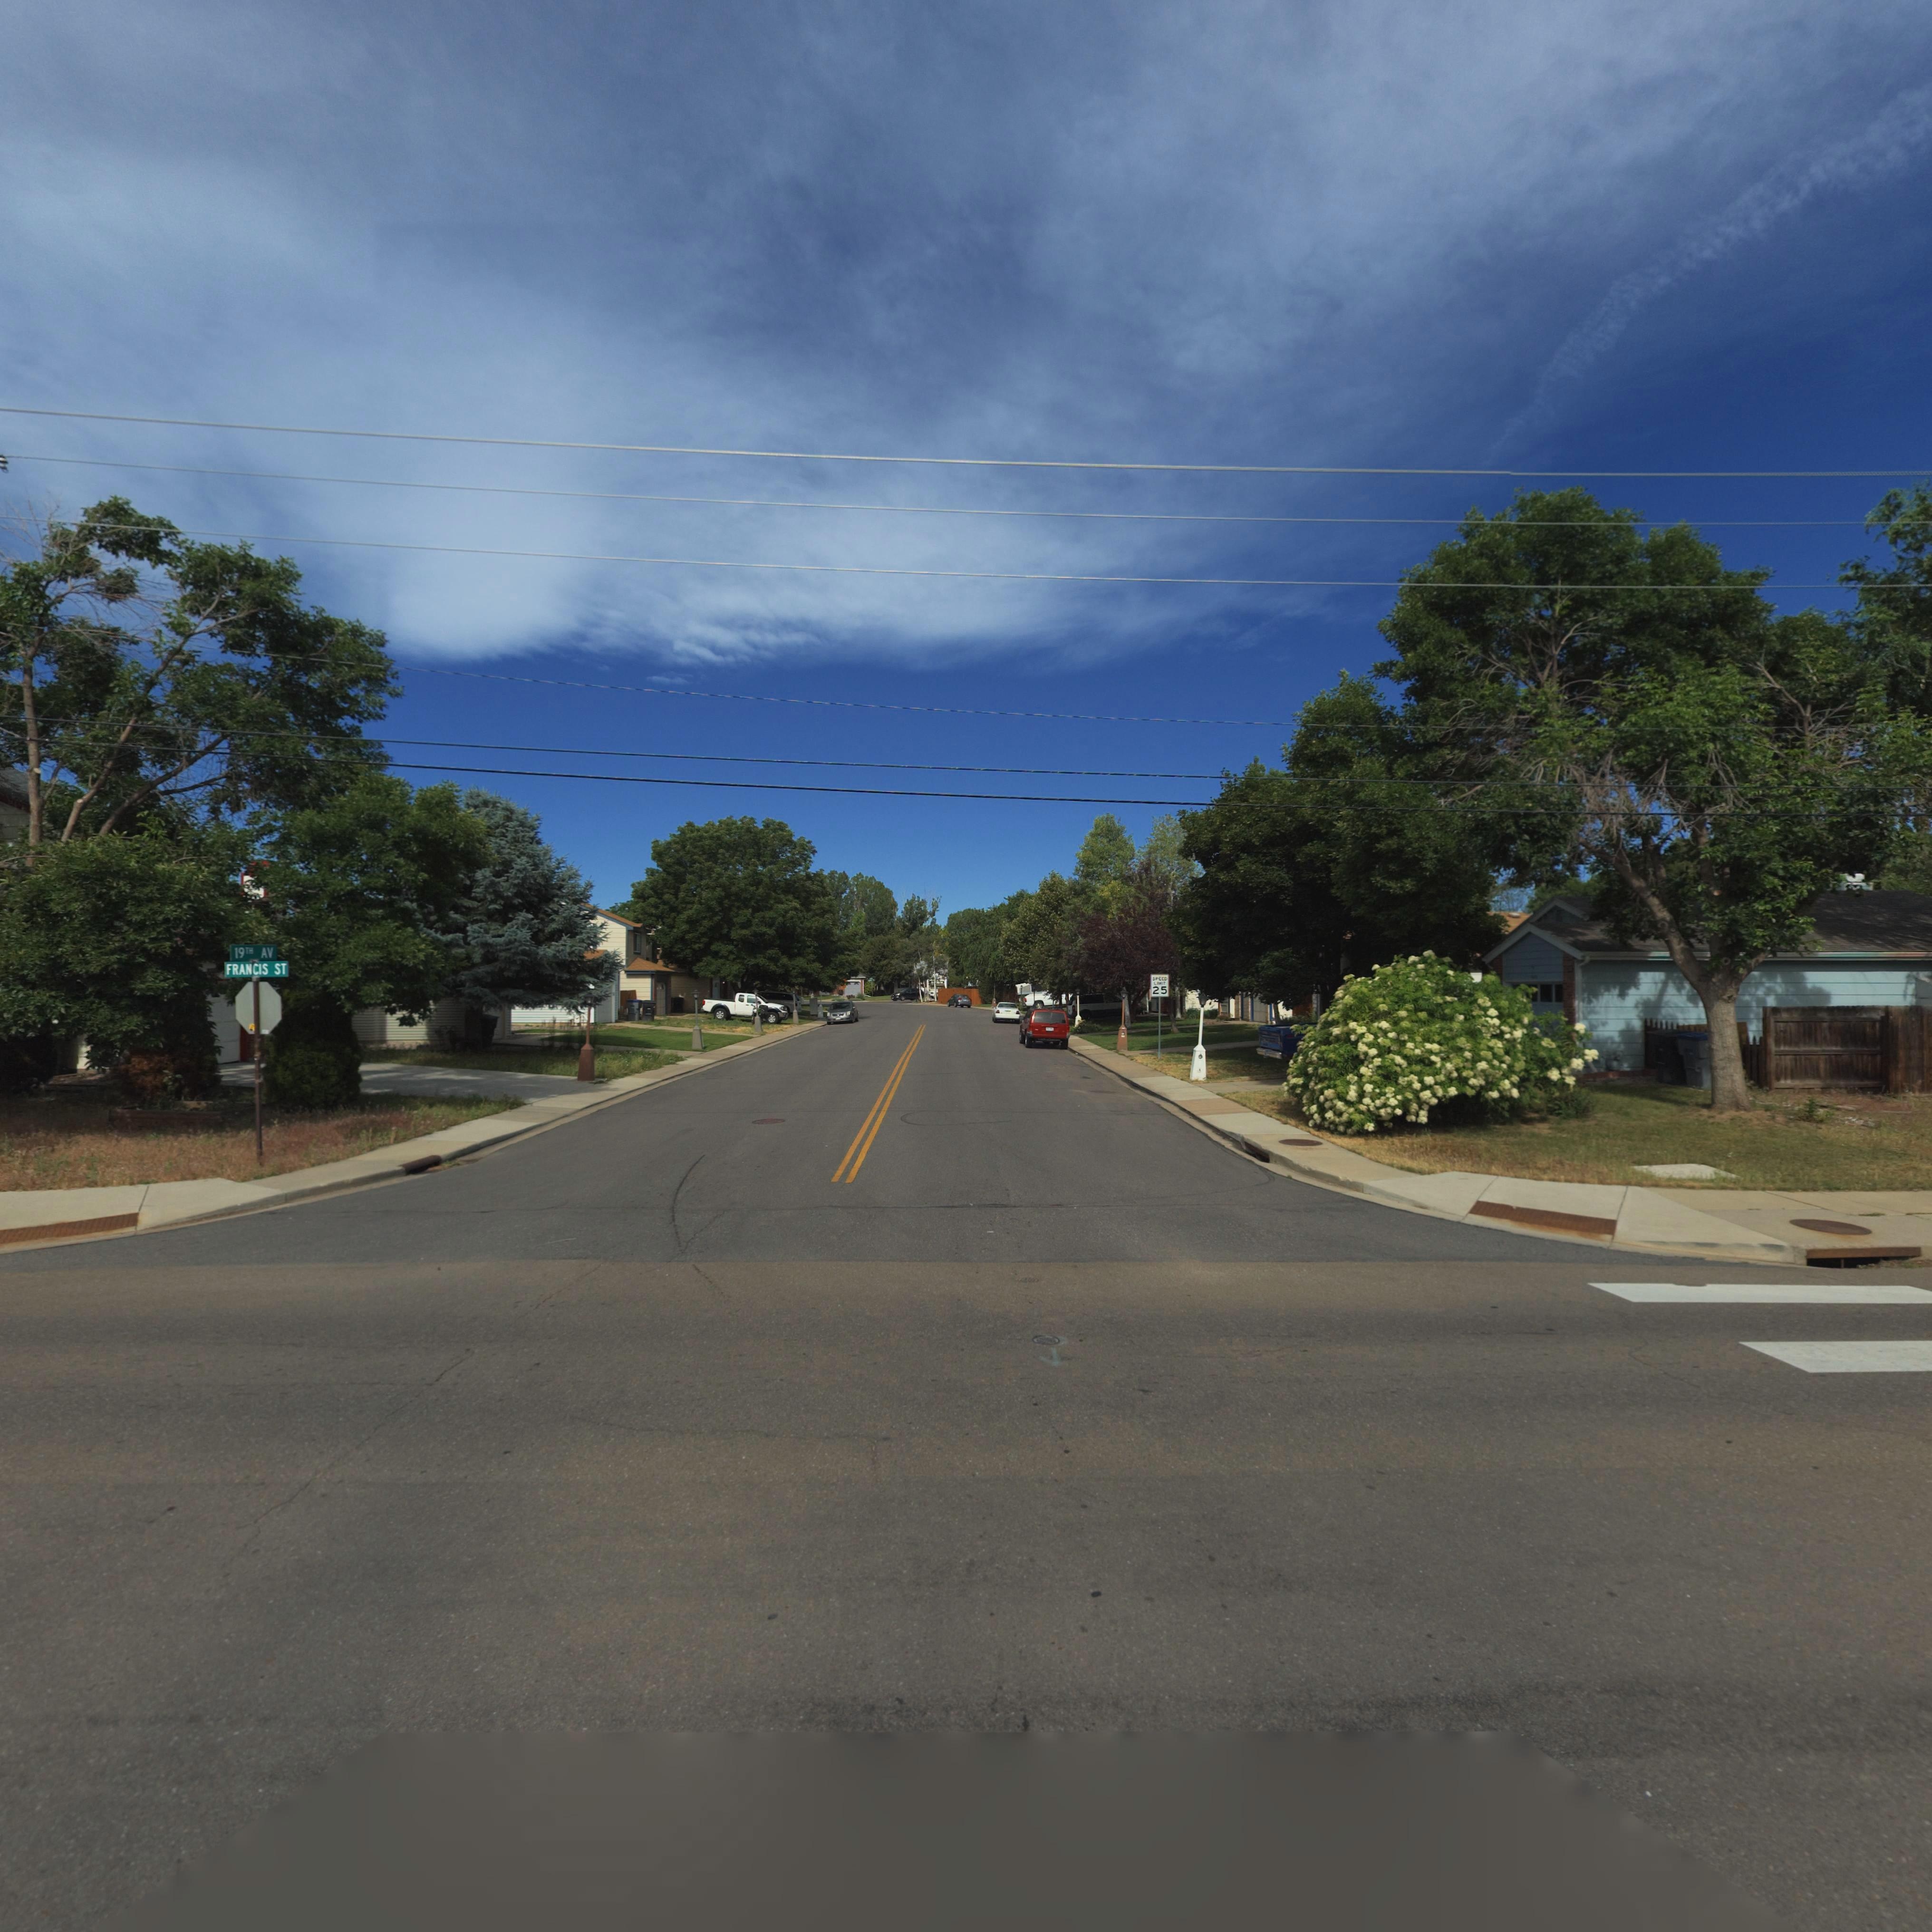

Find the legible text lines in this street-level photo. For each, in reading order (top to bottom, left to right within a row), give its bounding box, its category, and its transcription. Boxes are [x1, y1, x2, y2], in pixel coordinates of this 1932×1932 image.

[234, 947, 274, 959] StreetName: 19TH AV
[225, 963, 287, 975] StreetName: FRANCIS ST